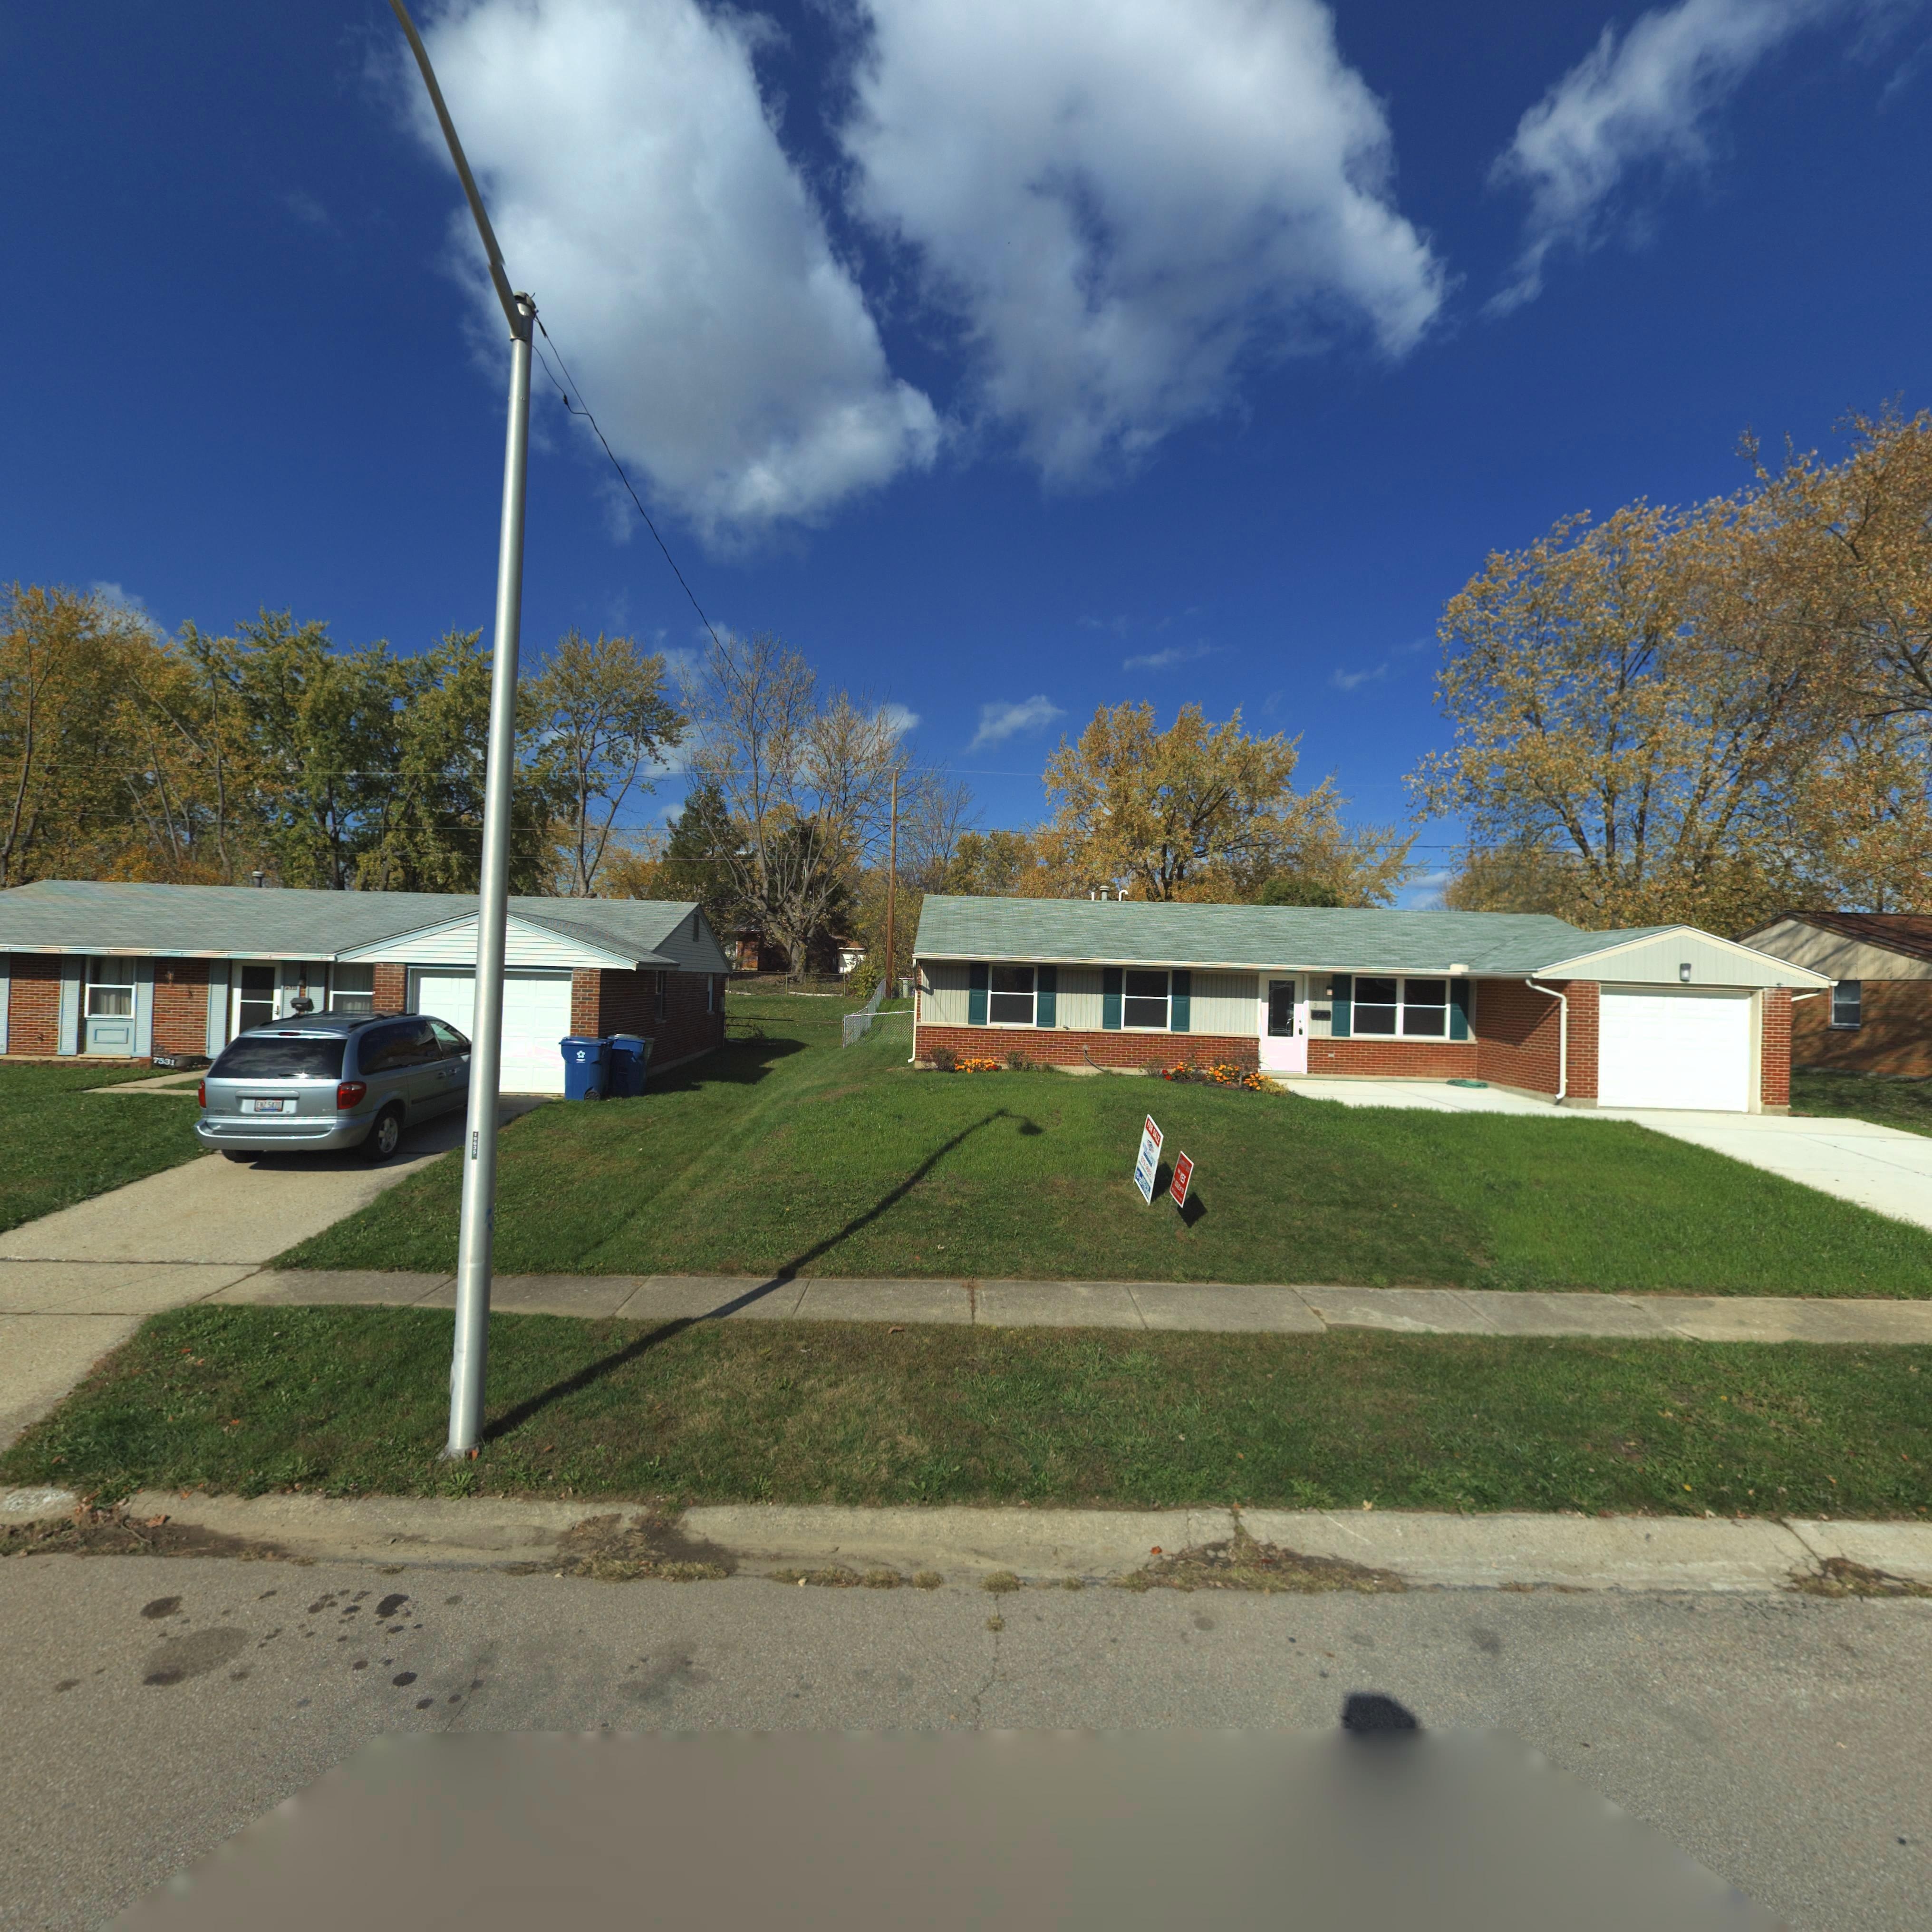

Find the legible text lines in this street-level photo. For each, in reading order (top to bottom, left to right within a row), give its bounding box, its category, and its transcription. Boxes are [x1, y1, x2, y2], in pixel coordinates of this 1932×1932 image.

[283, 985, 297, 990] StreetNumber: 75*1
[1312, 990, 1318, 1009] StreetNumber: 5*3
[152, 1056, 176, 1066] StreetNumber: 7531
[6, 1491, 50, 1508] StreetNumber: 7531